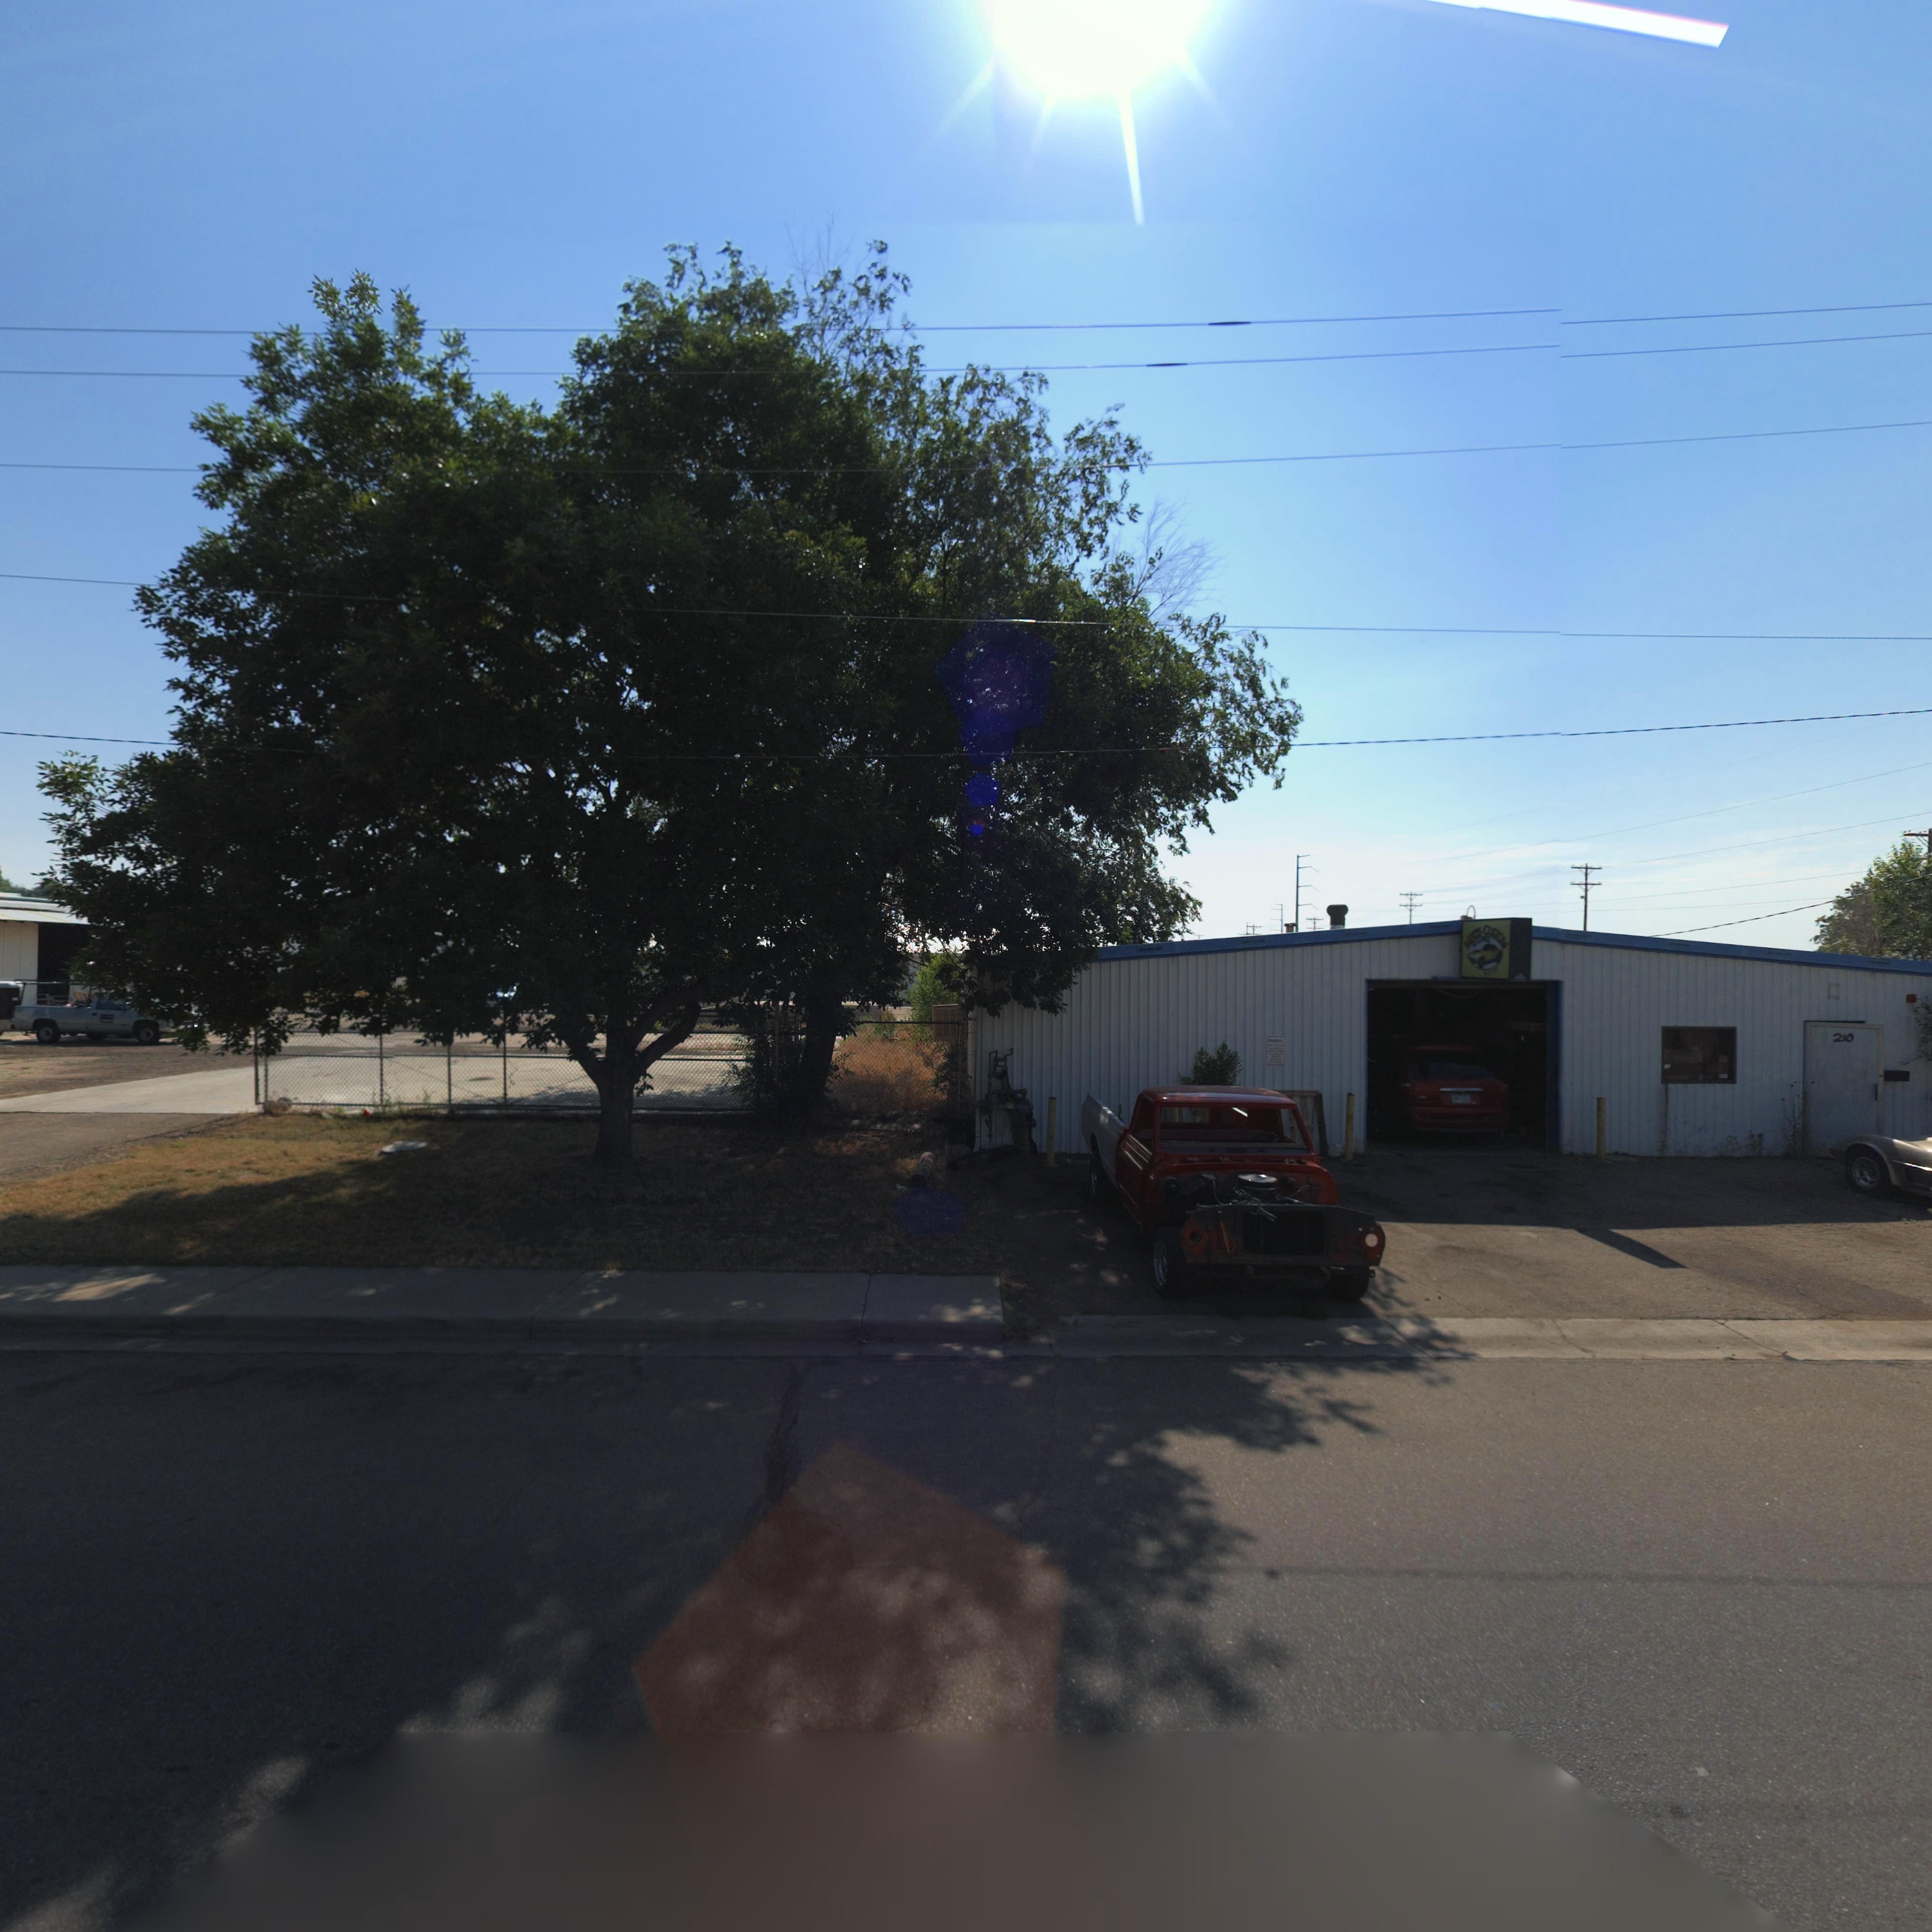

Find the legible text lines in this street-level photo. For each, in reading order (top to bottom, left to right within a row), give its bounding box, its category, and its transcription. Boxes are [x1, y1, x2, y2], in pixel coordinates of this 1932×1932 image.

[1462, 922, 1510, 951] BusinessName: M*S QUE**
[1832, 1032, 1855, 1043] StreetNumber: 210